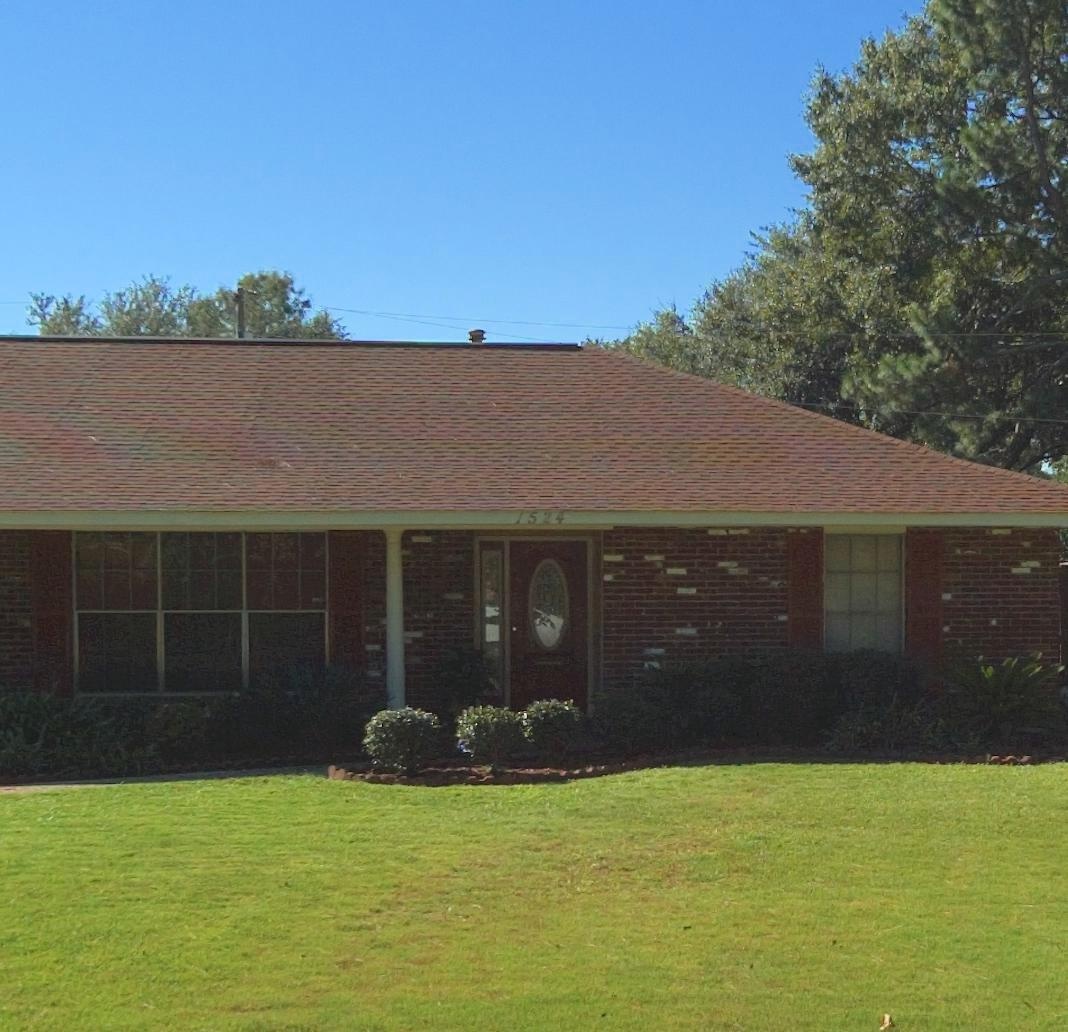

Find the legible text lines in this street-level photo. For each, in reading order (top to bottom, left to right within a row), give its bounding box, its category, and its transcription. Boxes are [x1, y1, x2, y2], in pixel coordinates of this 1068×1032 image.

[512, 509, 567, 526] StreetNumber: 1524